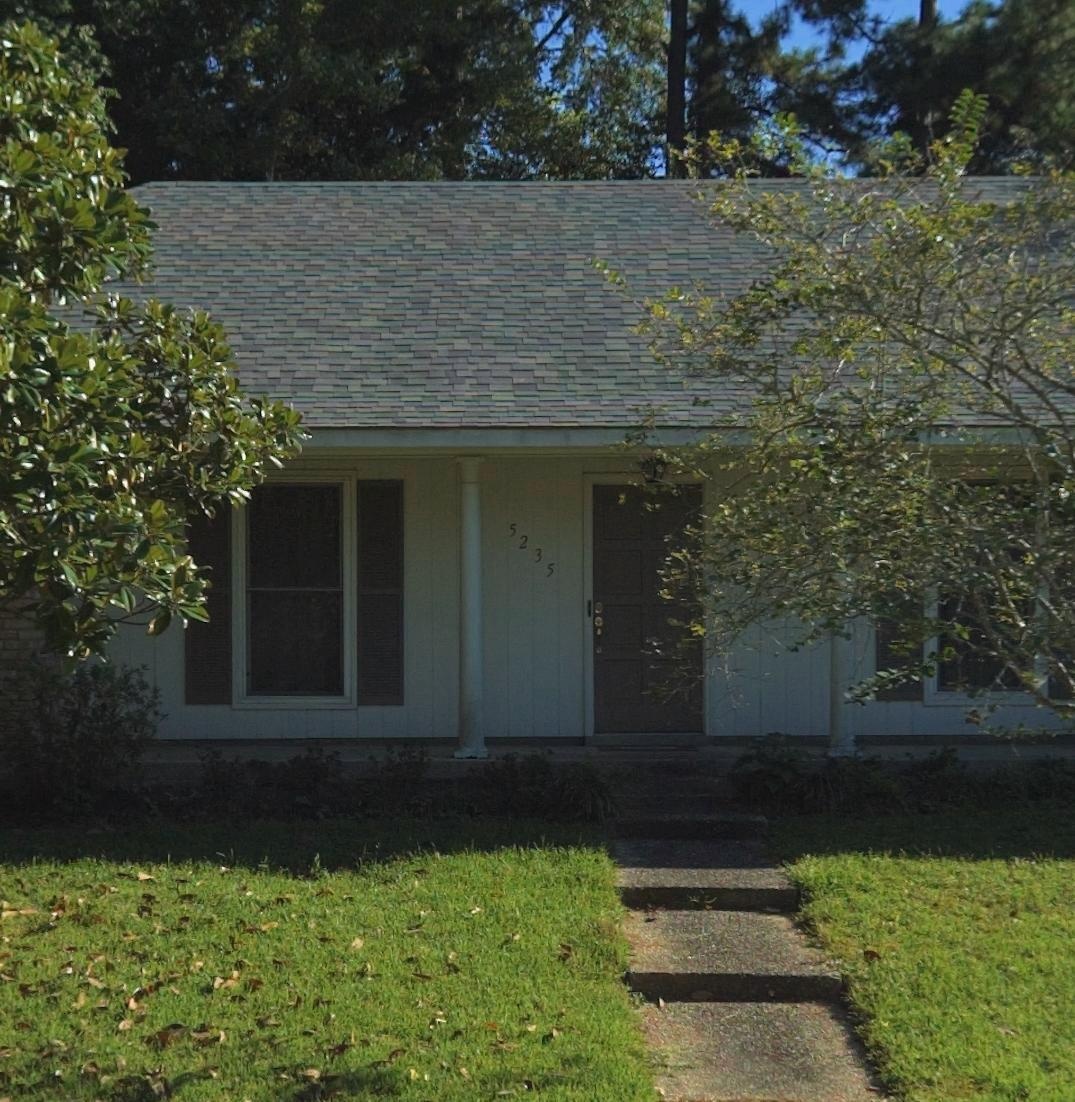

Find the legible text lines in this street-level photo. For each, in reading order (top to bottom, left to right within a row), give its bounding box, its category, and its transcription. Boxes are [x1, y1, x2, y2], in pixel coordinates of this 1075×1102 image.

[506, 520, 557, 580] StreetNumber: 5235